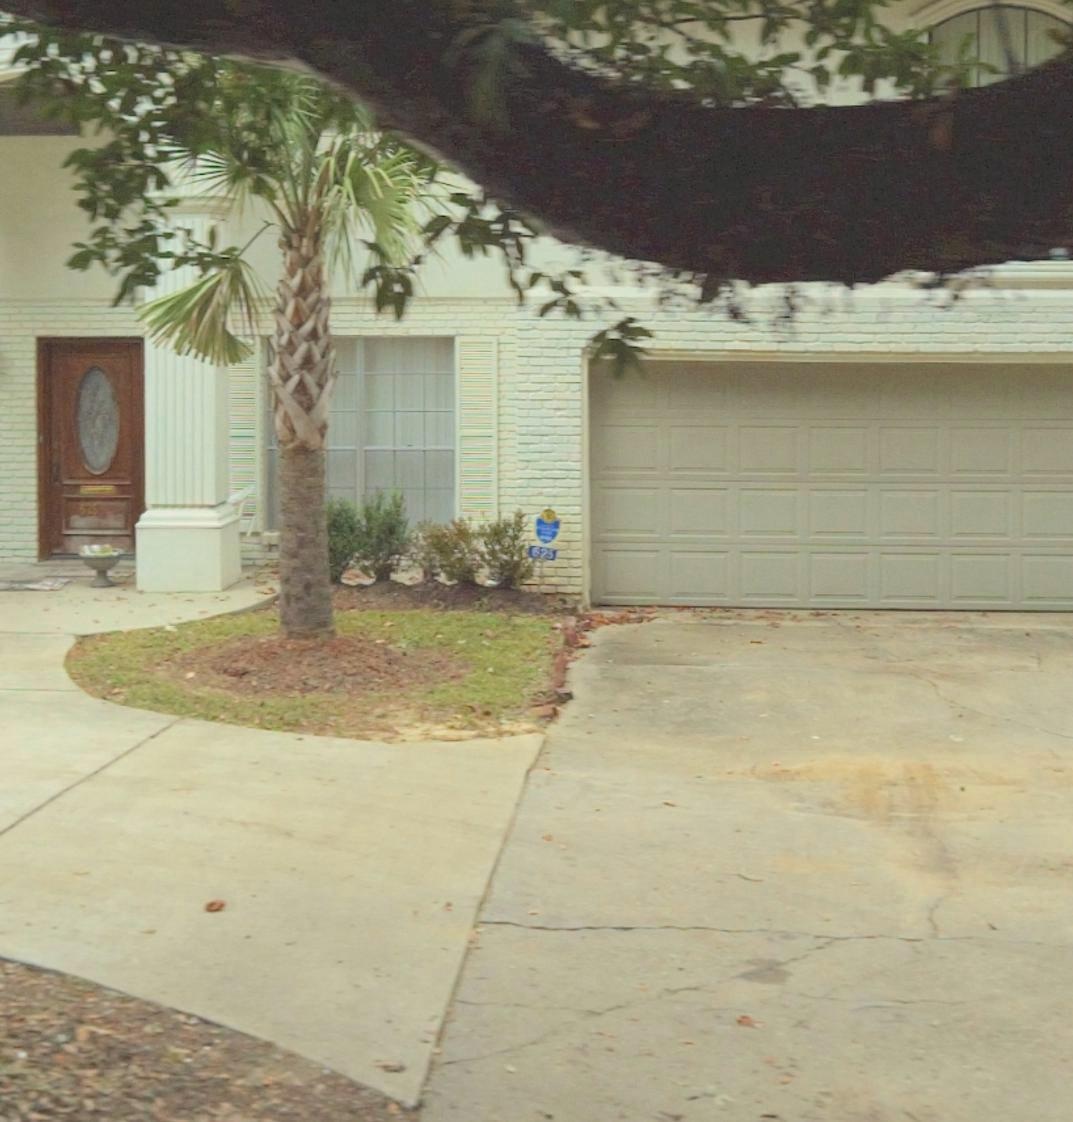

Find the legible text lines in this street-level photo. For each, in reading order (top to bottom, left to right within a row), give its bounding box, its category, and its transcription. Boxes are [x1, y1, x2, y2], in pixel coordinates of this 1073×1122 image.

[531, 547, 556, 560] StreetNumber: 625